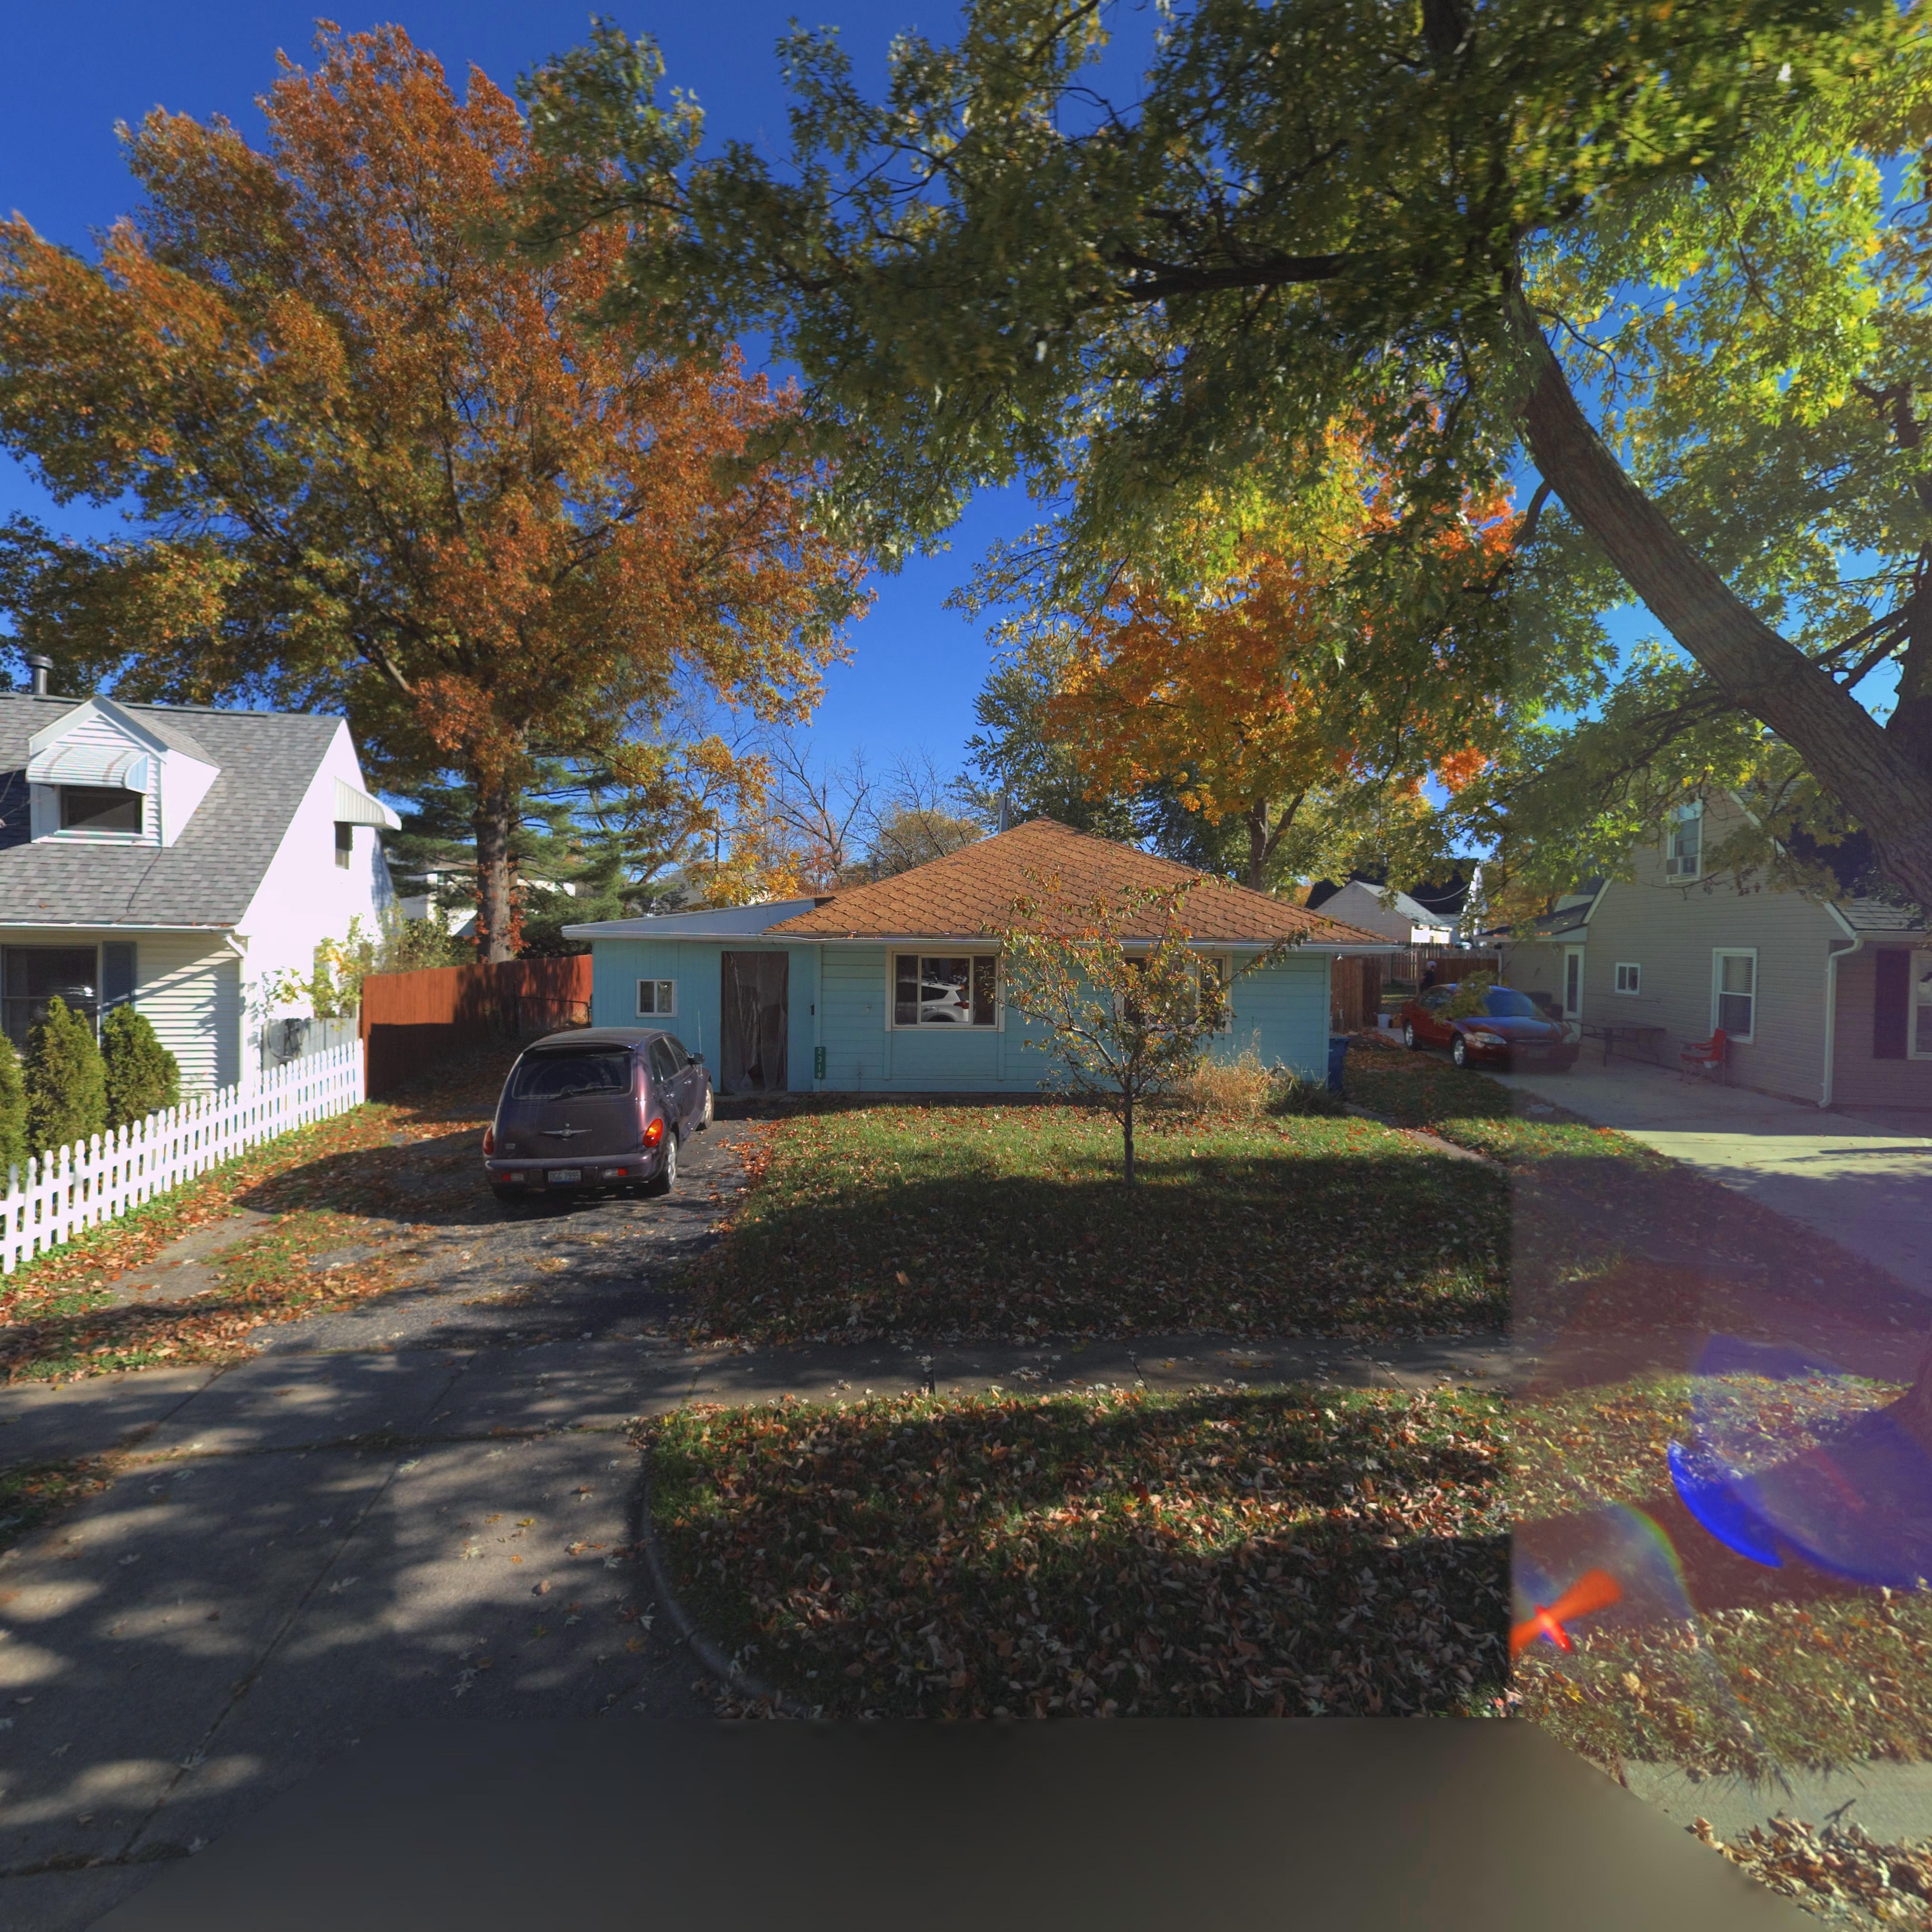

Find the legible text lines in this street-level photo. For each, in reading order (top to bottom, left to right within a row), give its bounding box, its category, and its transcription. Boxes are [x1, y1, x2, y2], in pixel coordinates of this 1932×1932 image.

[817, 1047, 822, 1079] StreetNumber: 2319